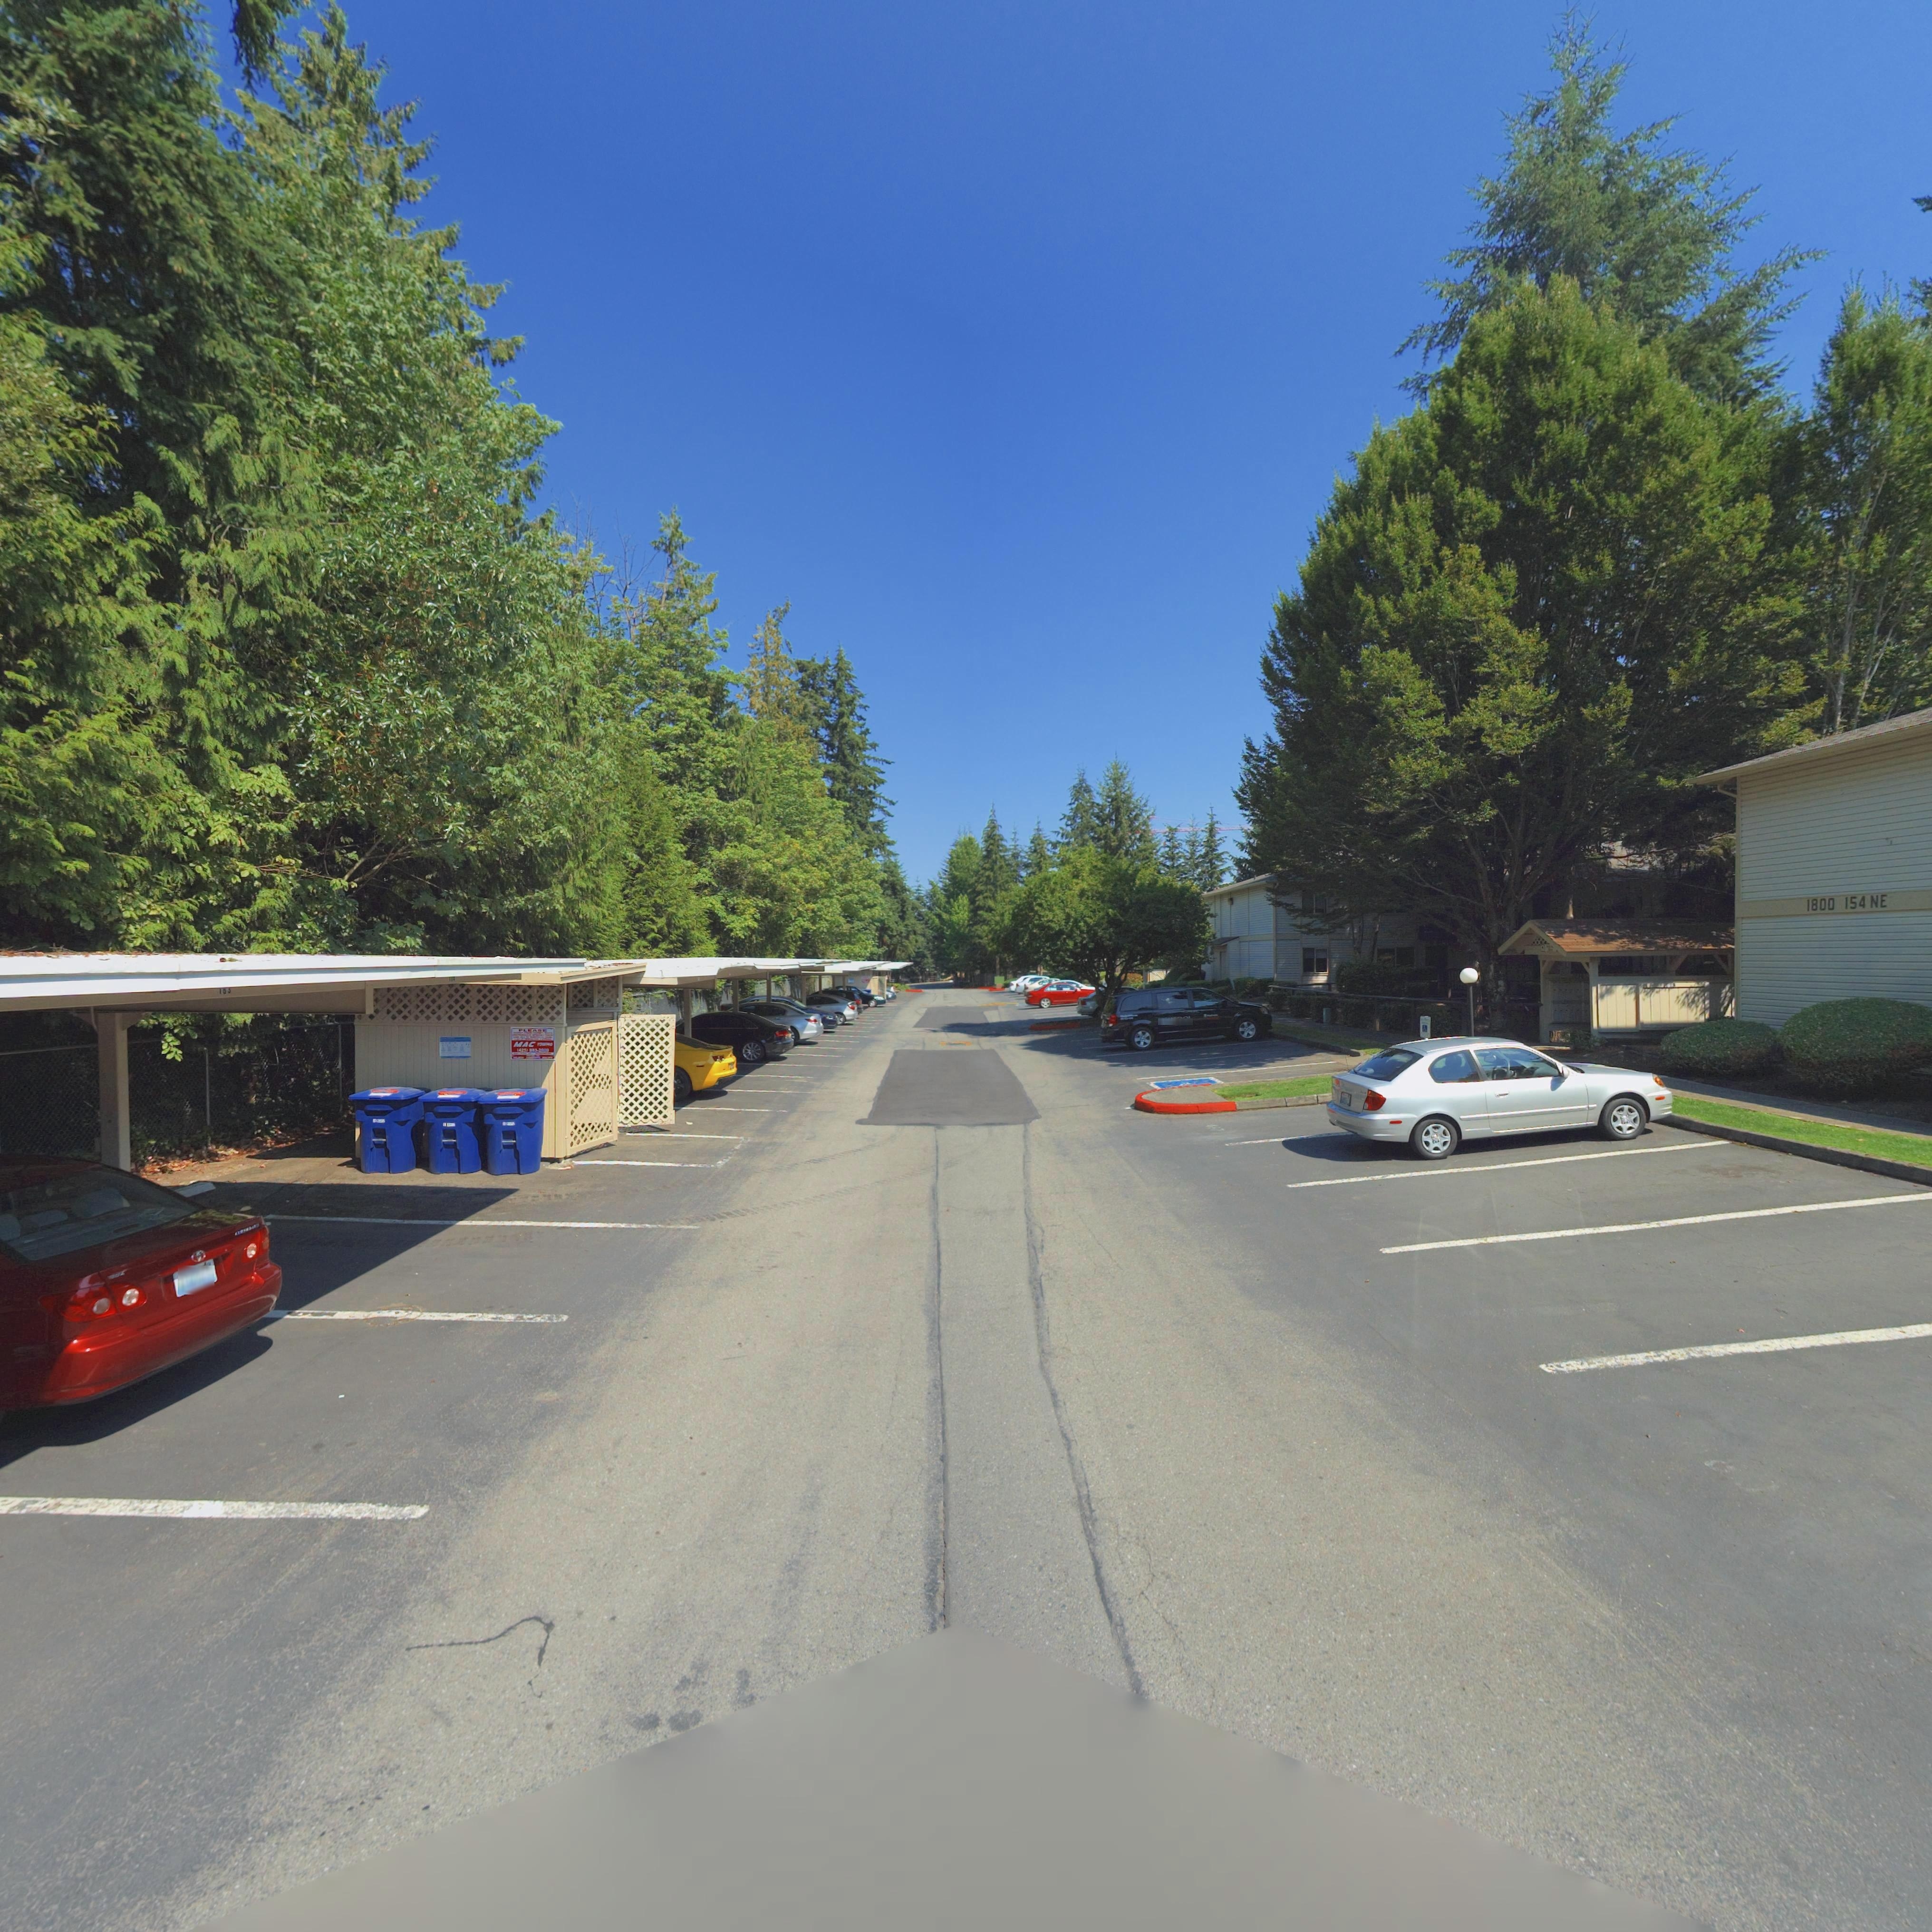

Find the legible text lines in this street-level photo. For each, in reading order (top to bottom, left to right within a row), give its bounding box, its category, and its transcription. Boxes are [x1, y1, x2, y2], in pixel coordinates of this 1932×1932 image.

[1806, 893, 1888, 911] StreetNumber: 1800 154 NE